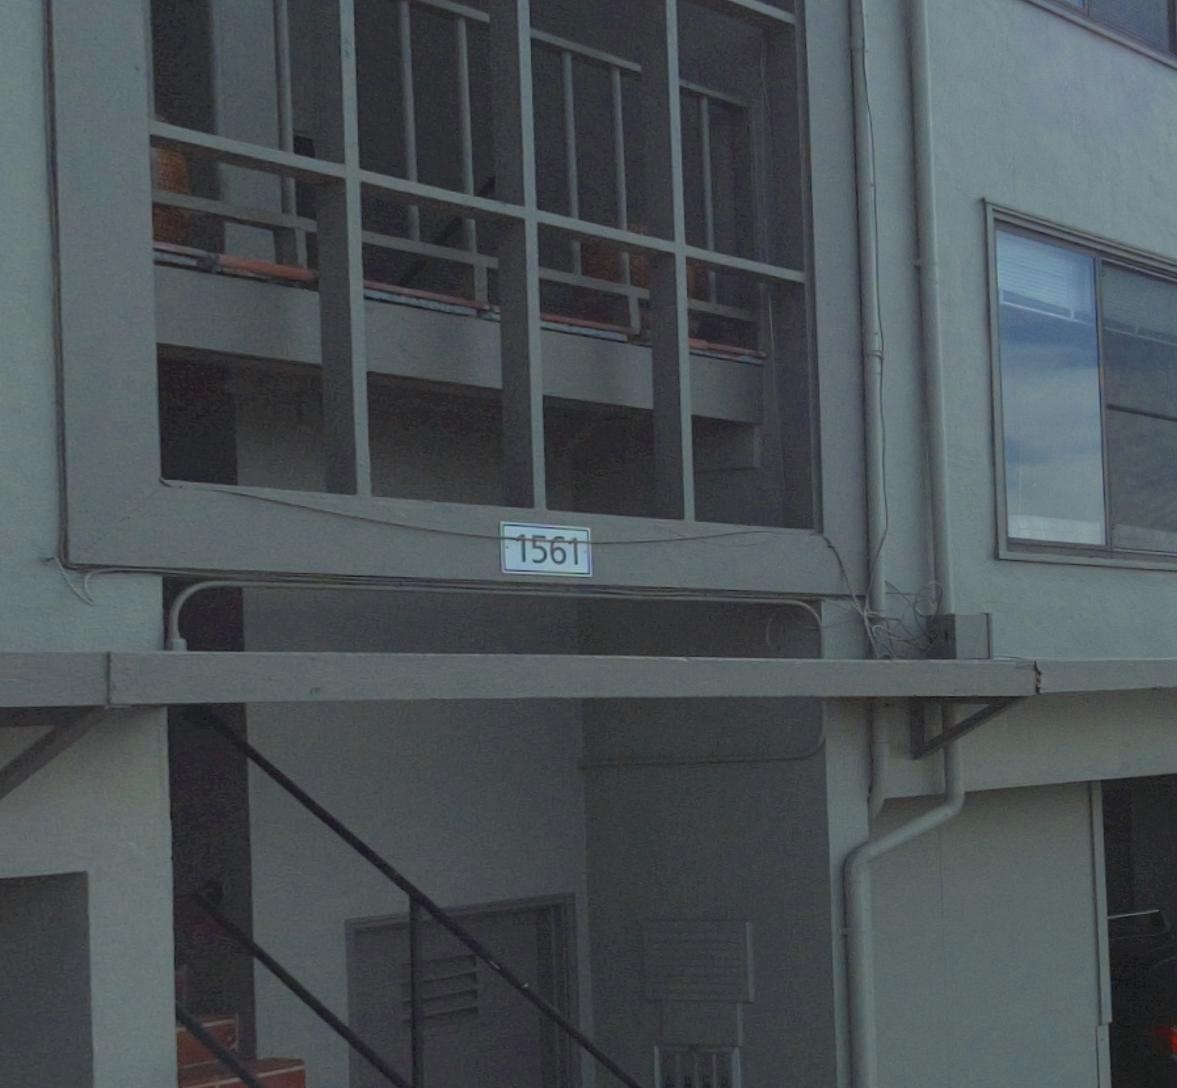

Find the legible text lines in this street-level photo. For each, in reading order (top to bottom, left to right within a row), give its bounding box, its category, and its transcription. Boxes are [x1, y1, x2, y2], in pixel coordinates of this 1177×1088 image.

[513, 530, 581, 569] StreetNumber: 1561